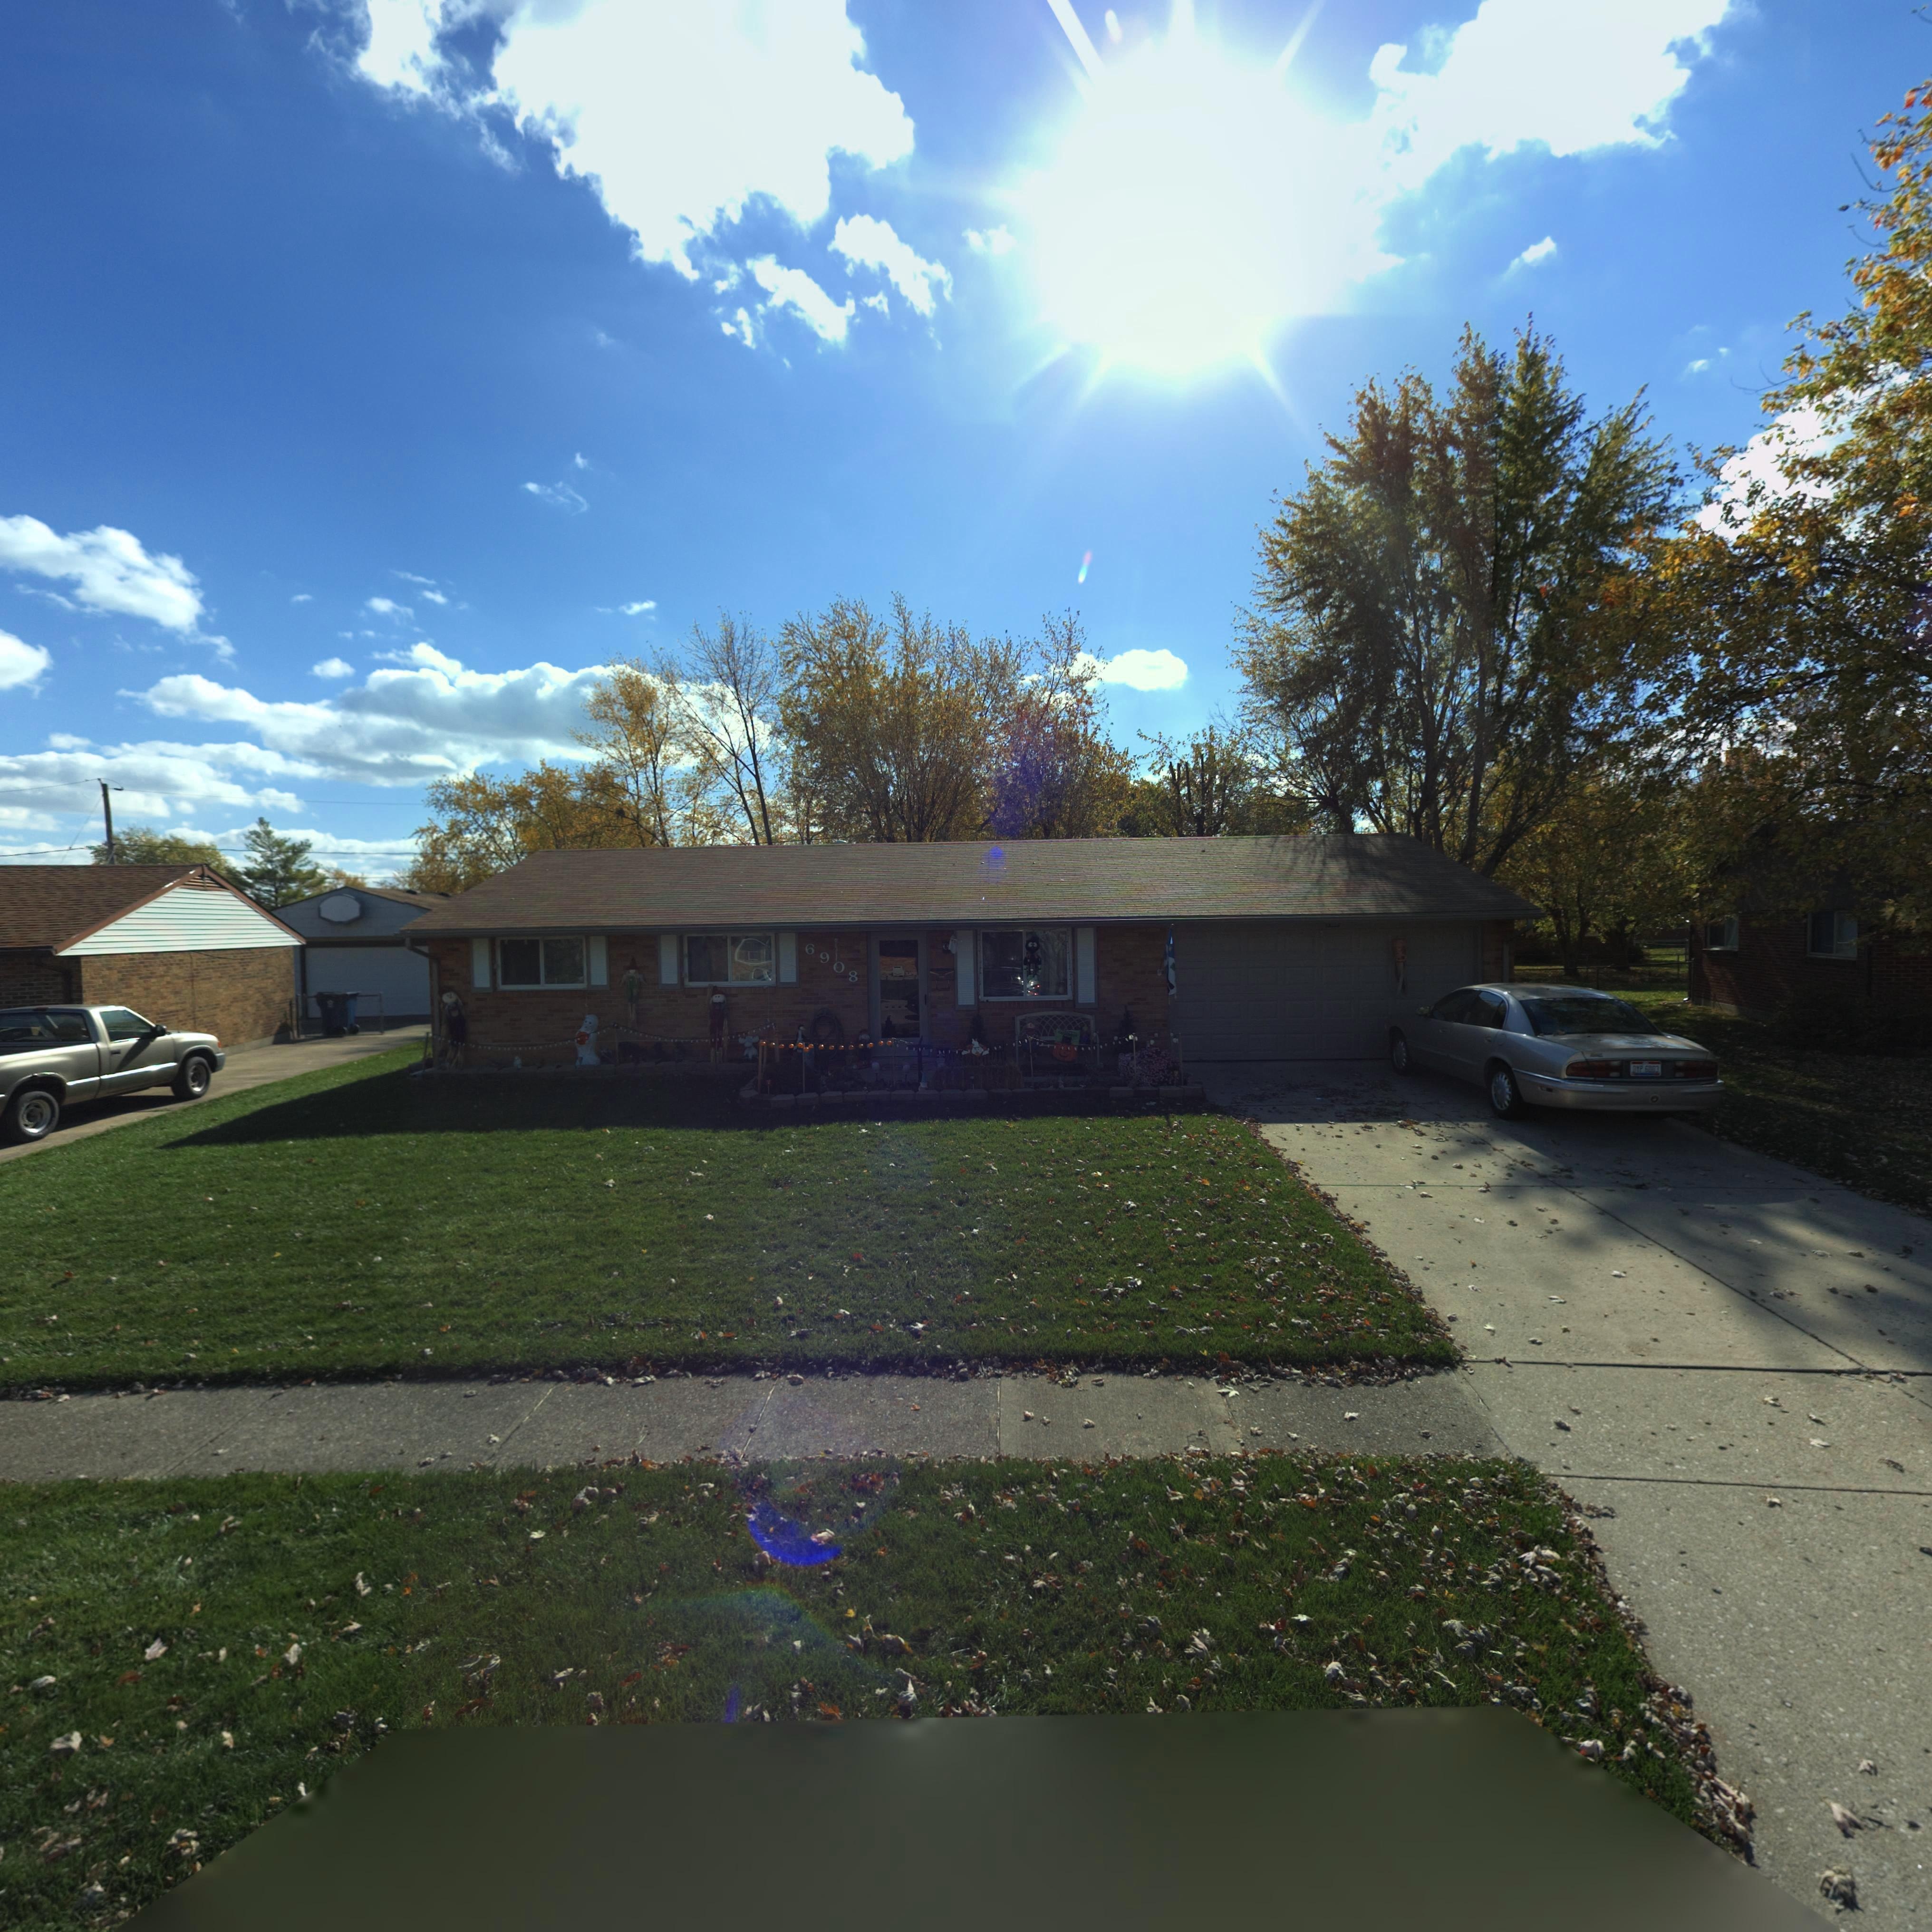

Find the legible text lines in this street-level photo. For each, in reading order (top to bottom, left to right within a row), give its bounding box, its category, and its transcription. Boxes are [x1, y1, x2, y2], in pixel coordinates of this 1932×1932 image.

[803, 941, 859, 985] StreetNumber: 6908